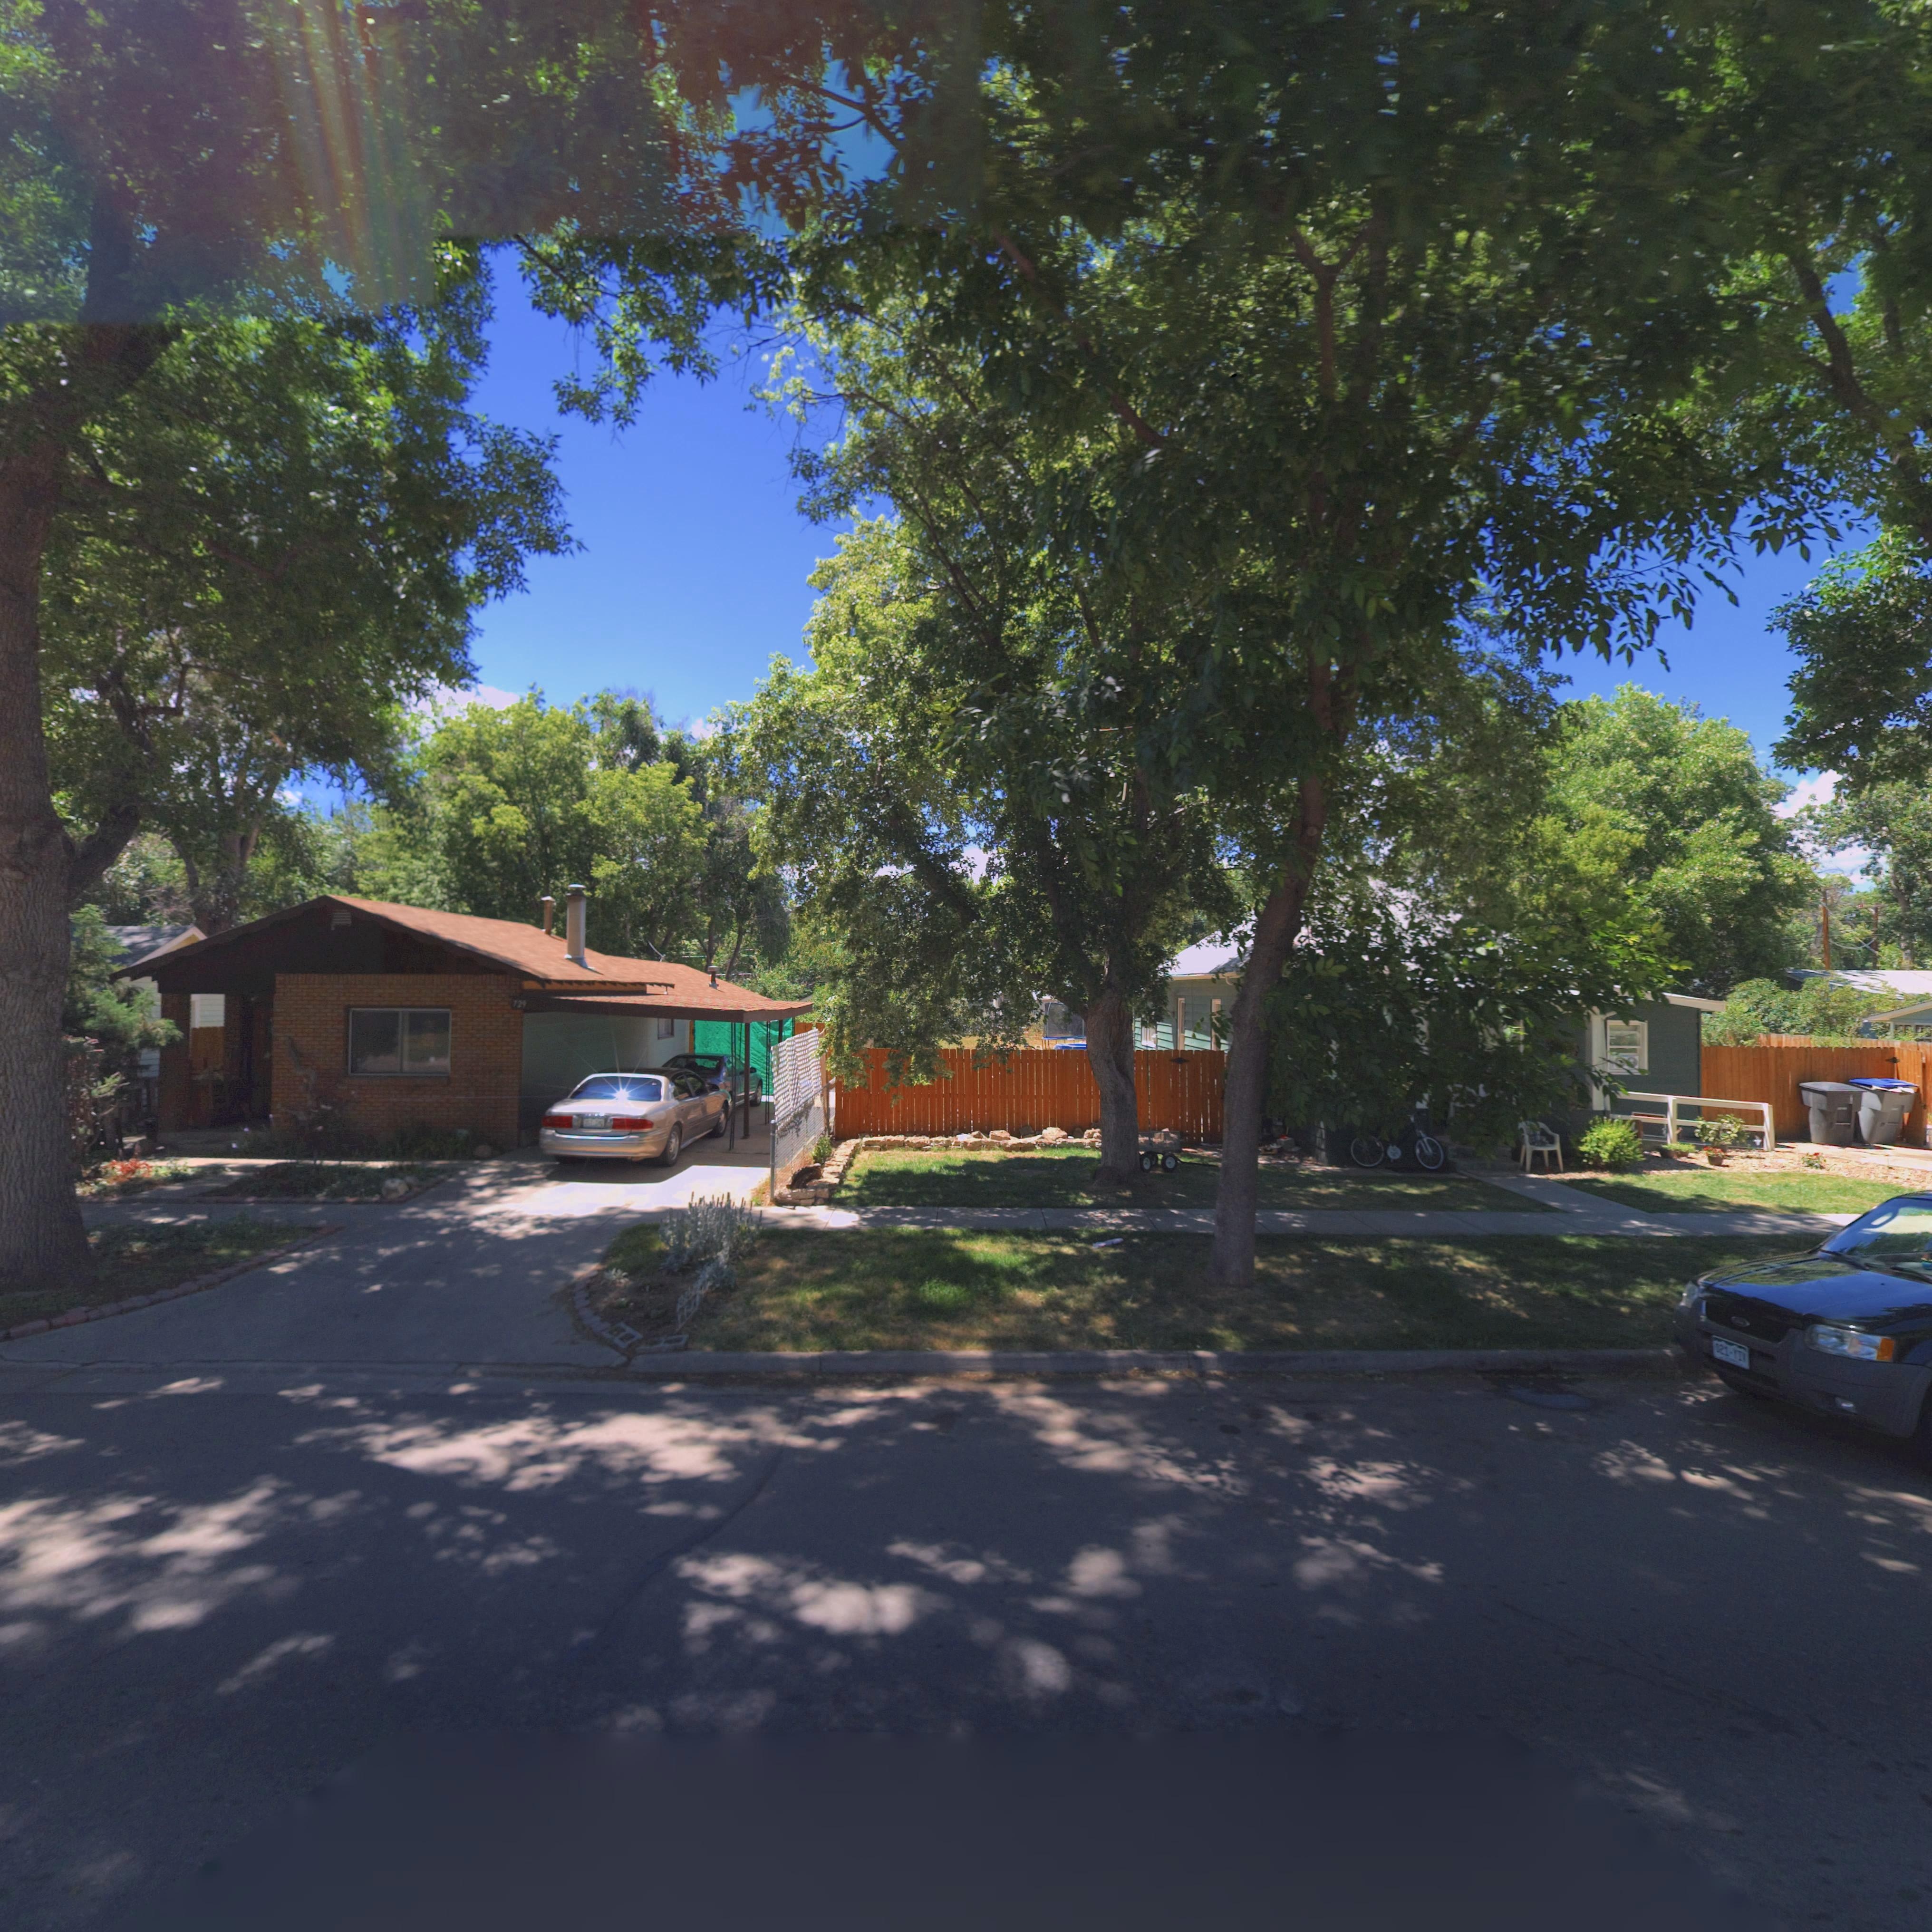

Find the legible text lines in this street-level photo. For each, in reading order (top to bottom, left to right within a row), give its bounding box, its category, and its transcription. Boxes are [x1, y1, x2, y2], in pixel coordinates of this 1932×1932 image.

[512, 999, 527, 1008] StreetNumber: 729